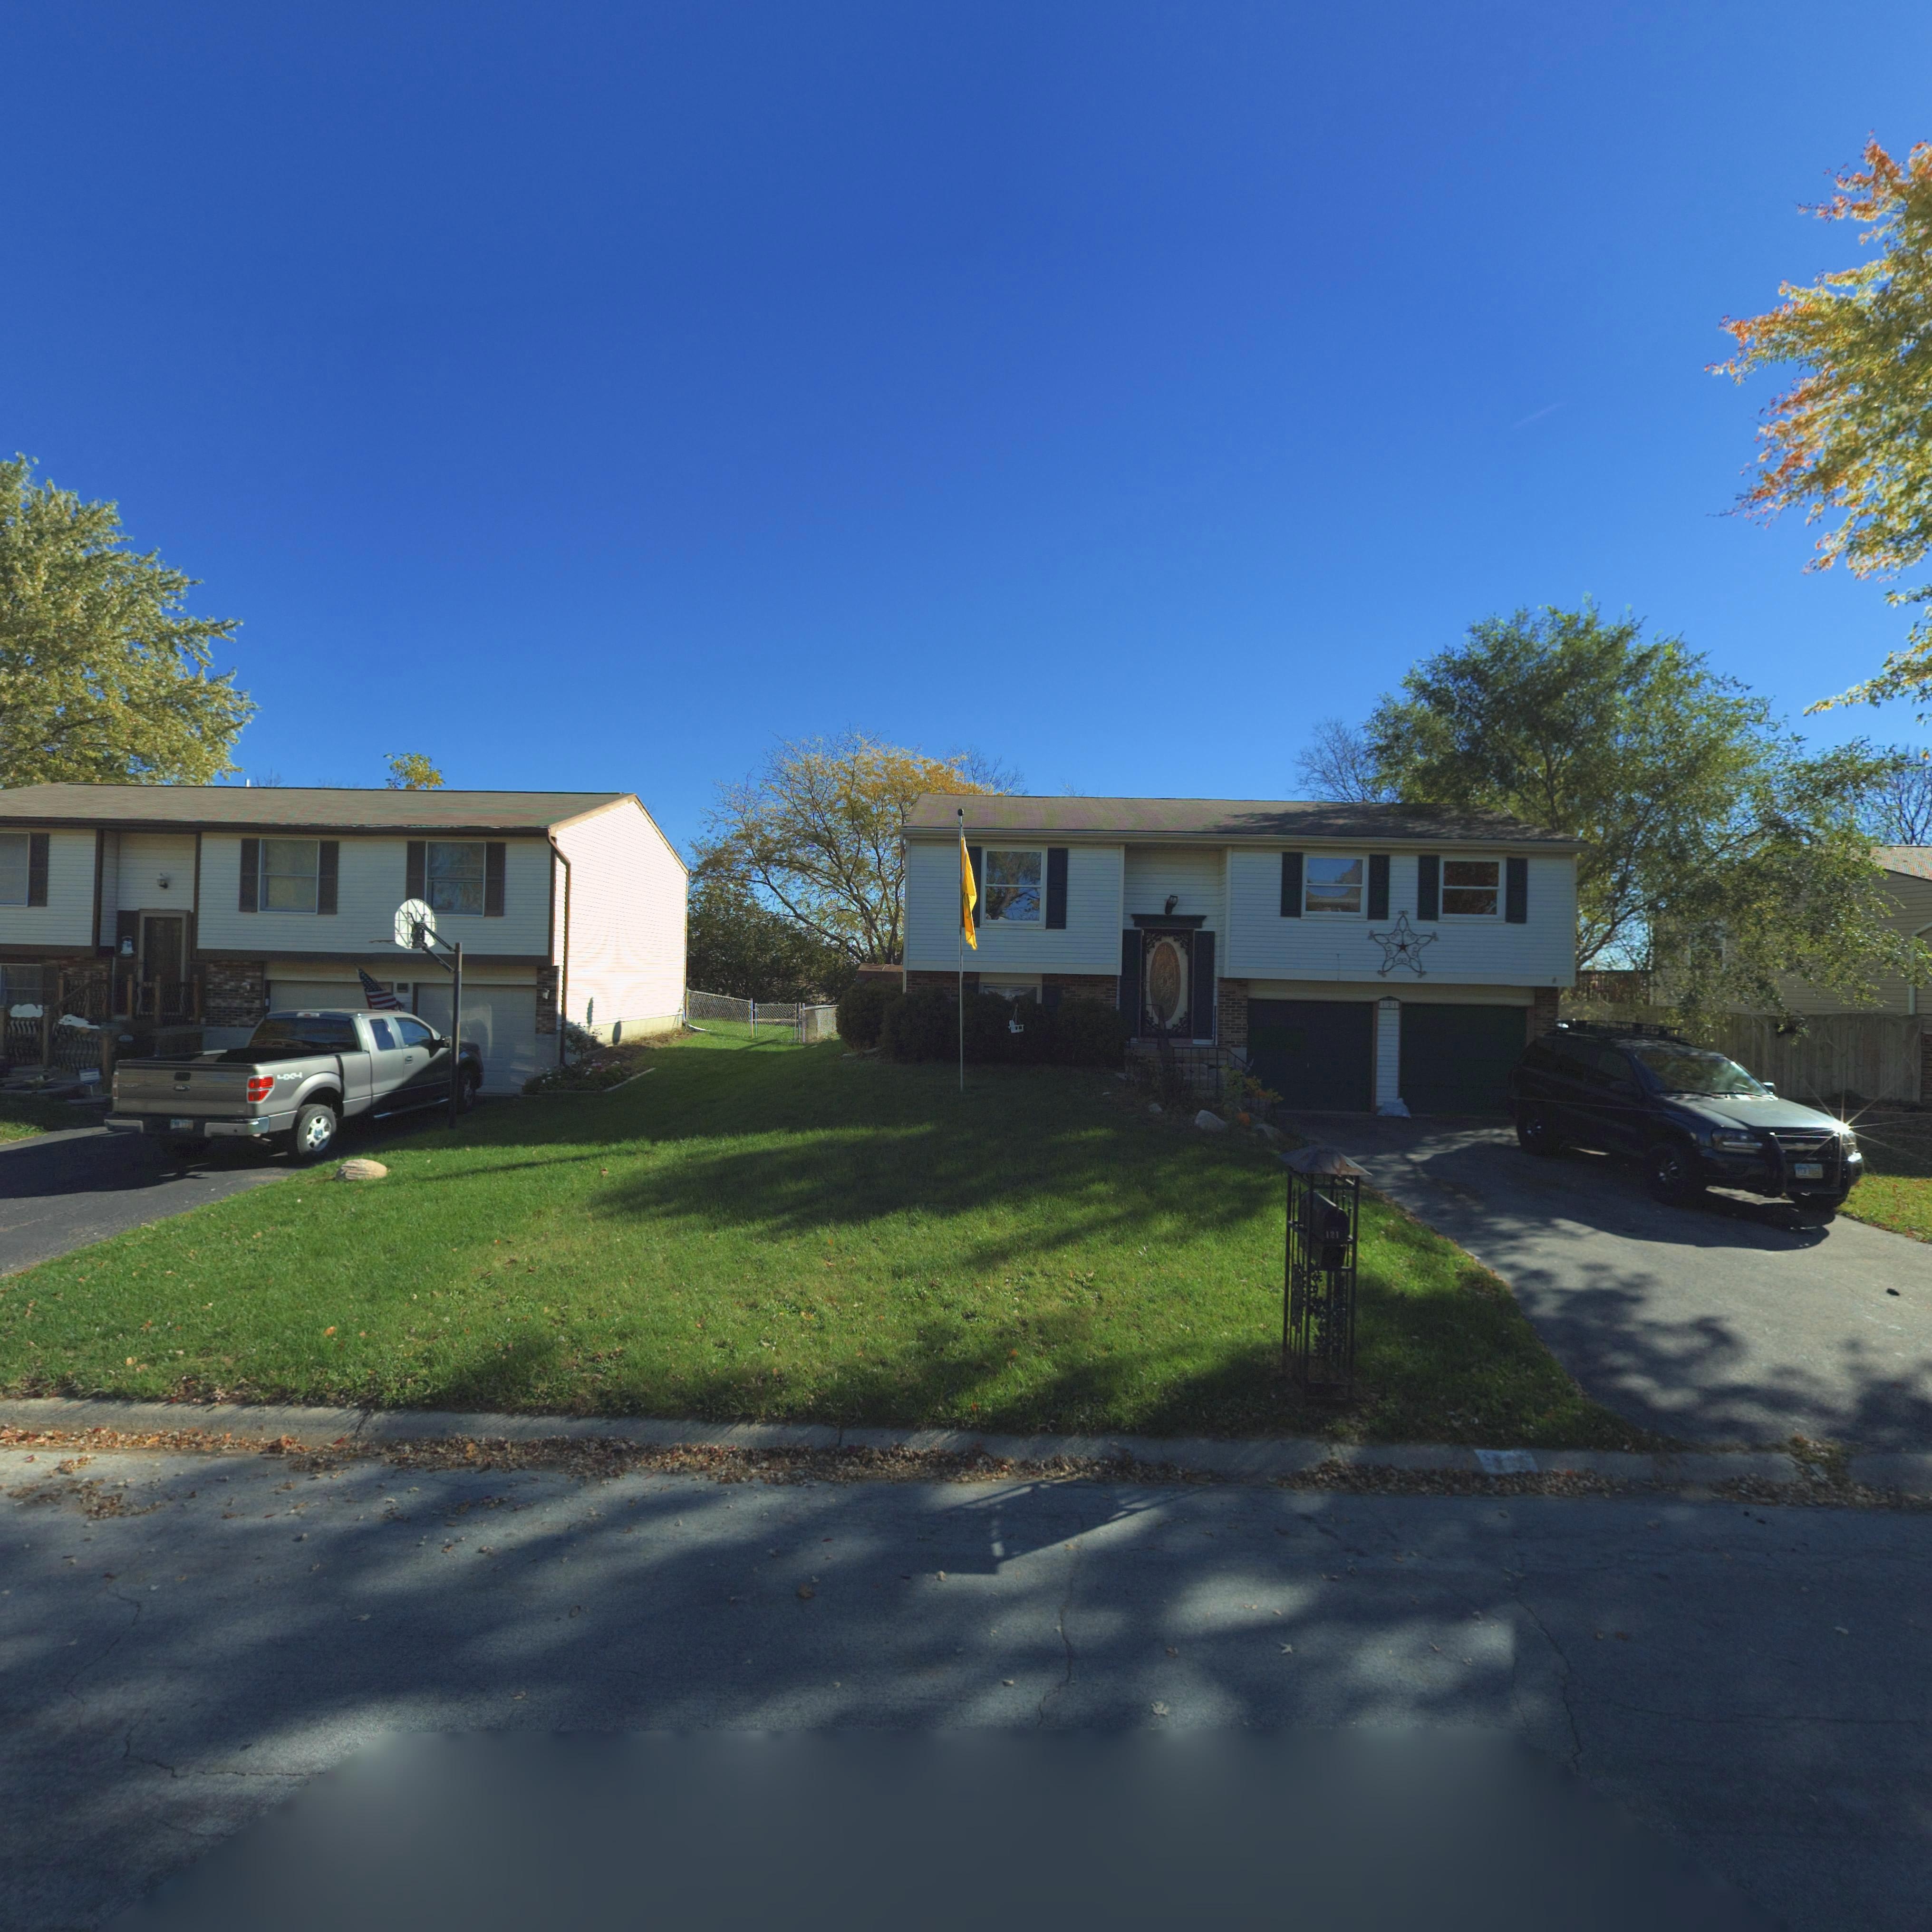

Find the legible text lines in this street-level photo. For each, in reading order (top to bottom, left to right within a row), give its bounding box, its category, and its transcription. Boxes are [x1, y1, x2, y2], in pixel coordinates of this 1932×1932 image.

[1381, 1001, 1396, 1009] StreetNumber: 121
[1325, 1230, 1340, 1239] StreetNumber: 121